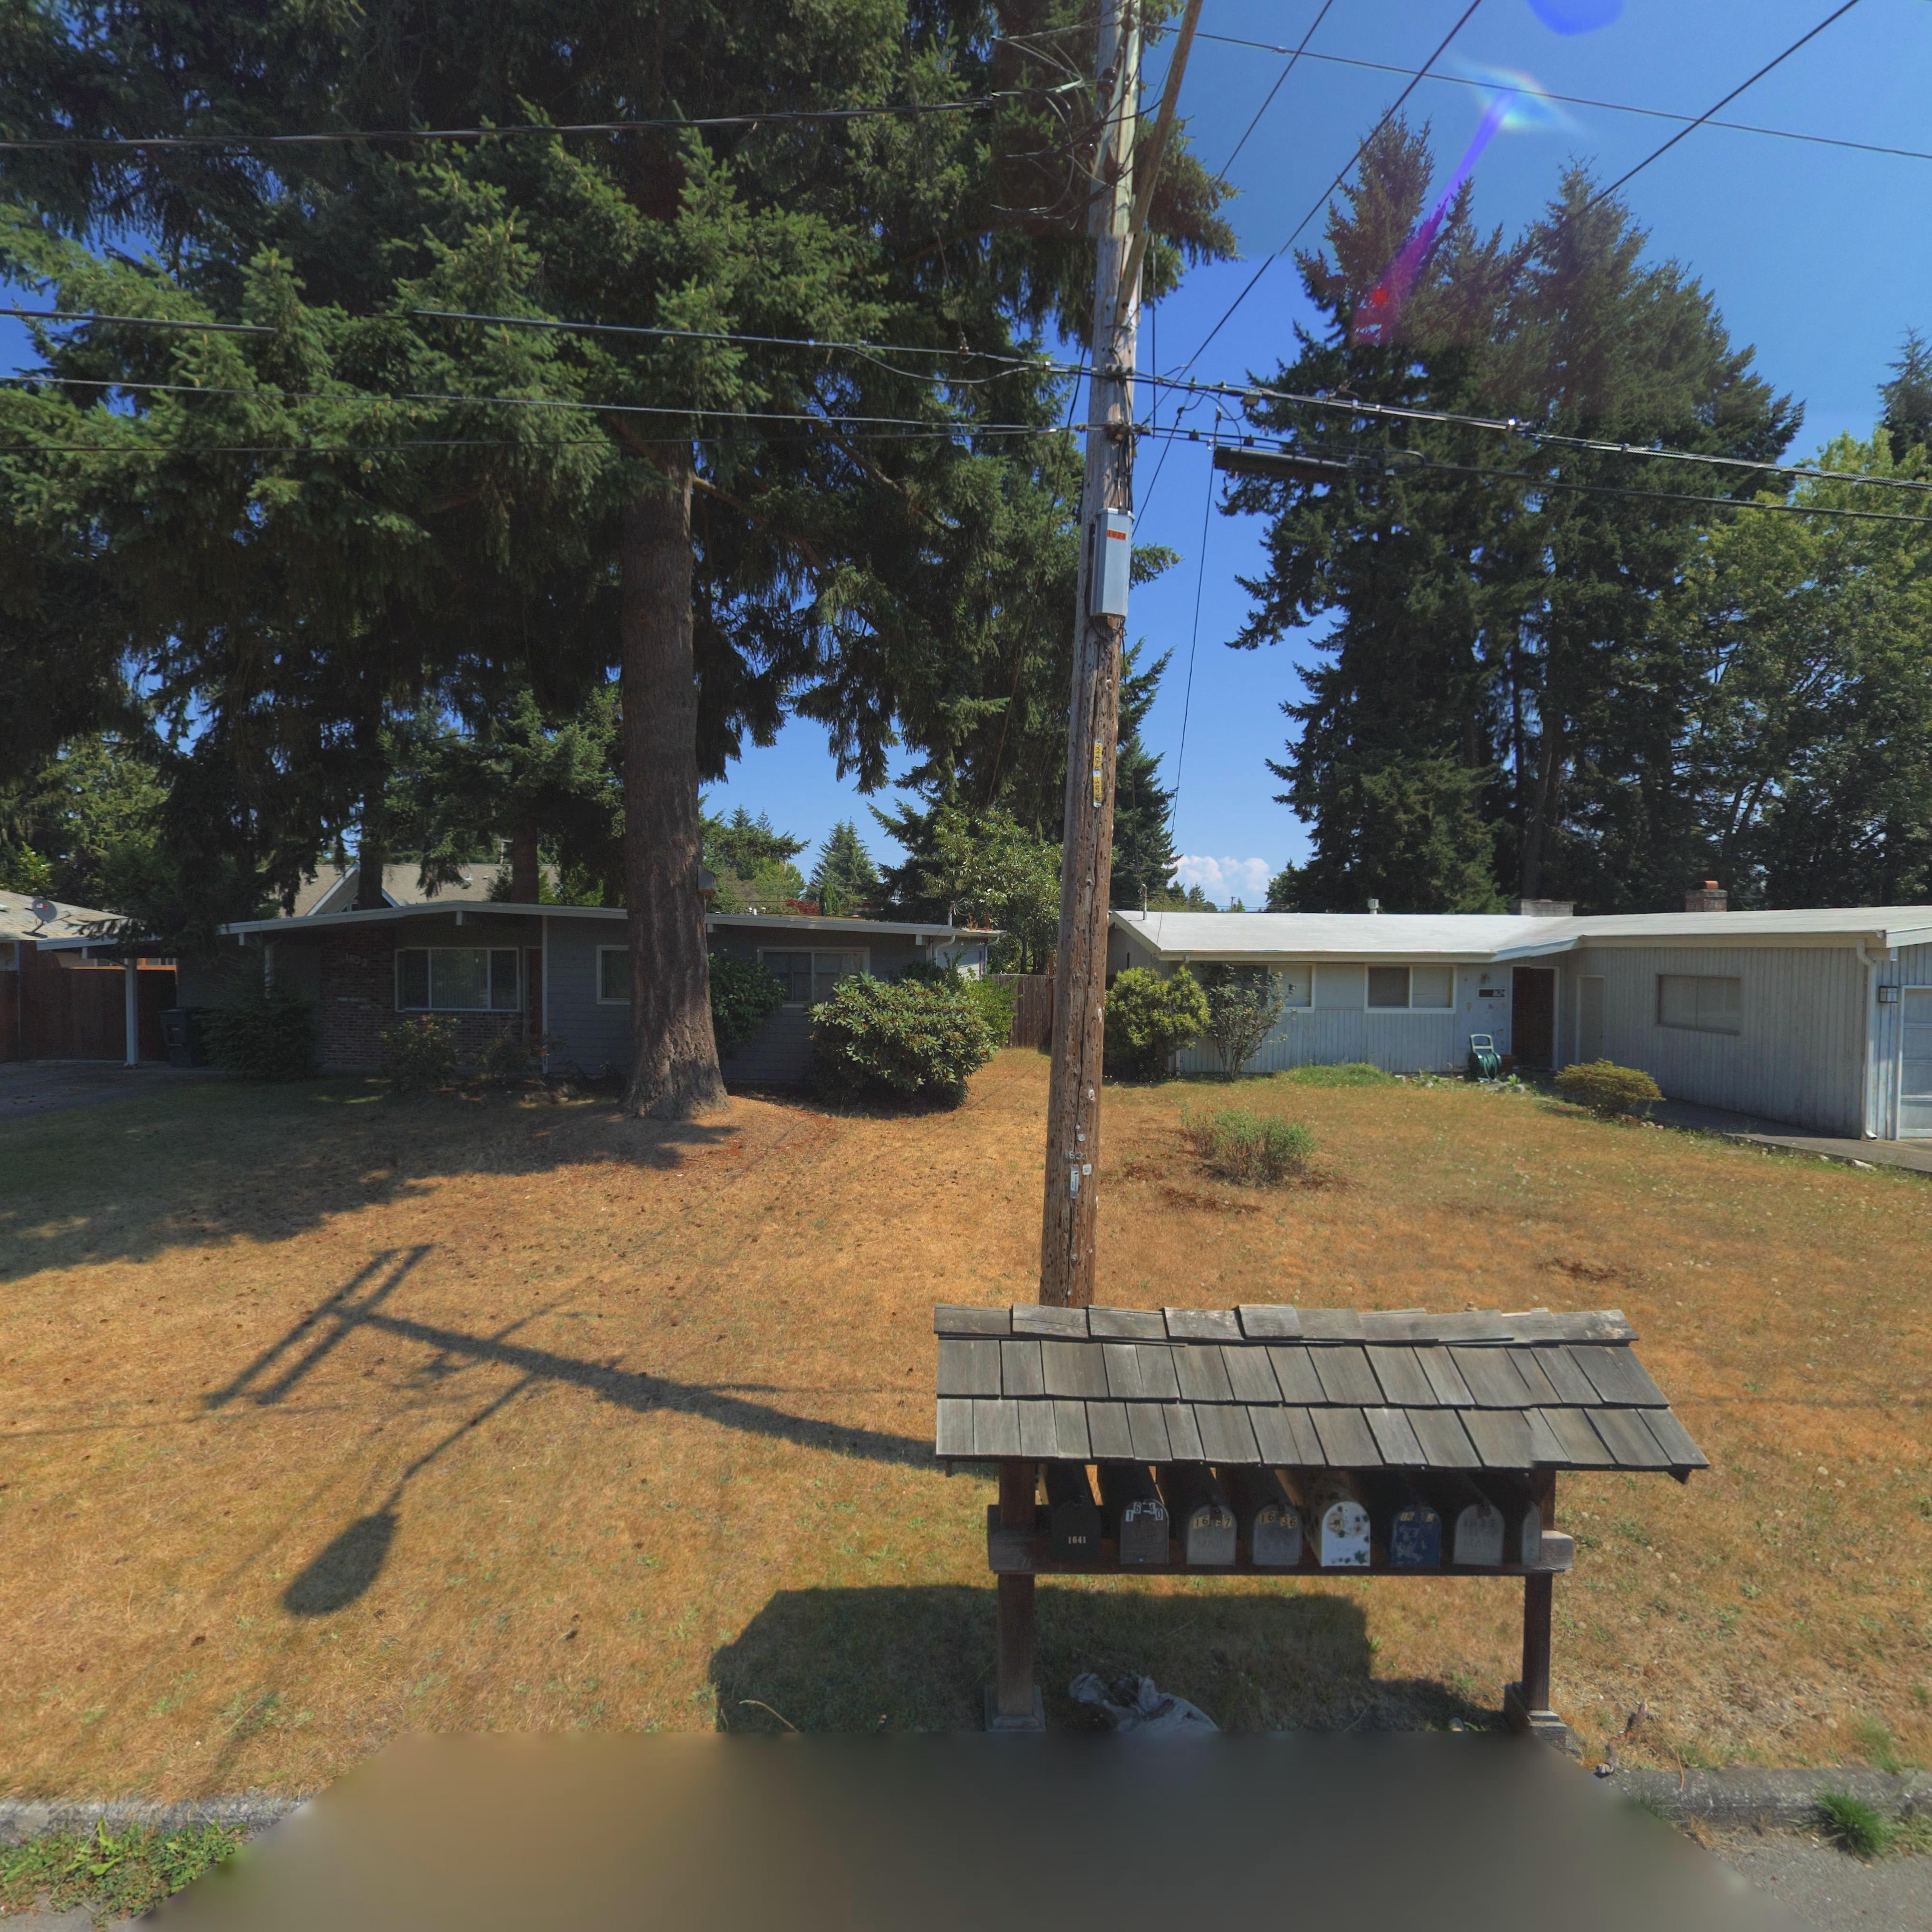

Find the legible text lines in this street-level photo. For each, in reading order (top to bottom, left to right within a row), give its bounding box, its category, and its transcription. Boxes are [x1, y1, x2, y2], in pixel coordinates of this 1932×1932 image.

[344, 951, 367, 967] StreetNumber: 1632
[1492, 989, 1507, 997] StreetNumber: 1624
[1125, 1502, 1163, 1521] StreetNumber: 16*40
[1193, 1514, 1232, 1529] StreetNumber: 16**7
[1260, 1509, 1297, 1529] StreetNumber: 16 36
[1068, 1535, 1086, 1544] StreetNumber: 1641